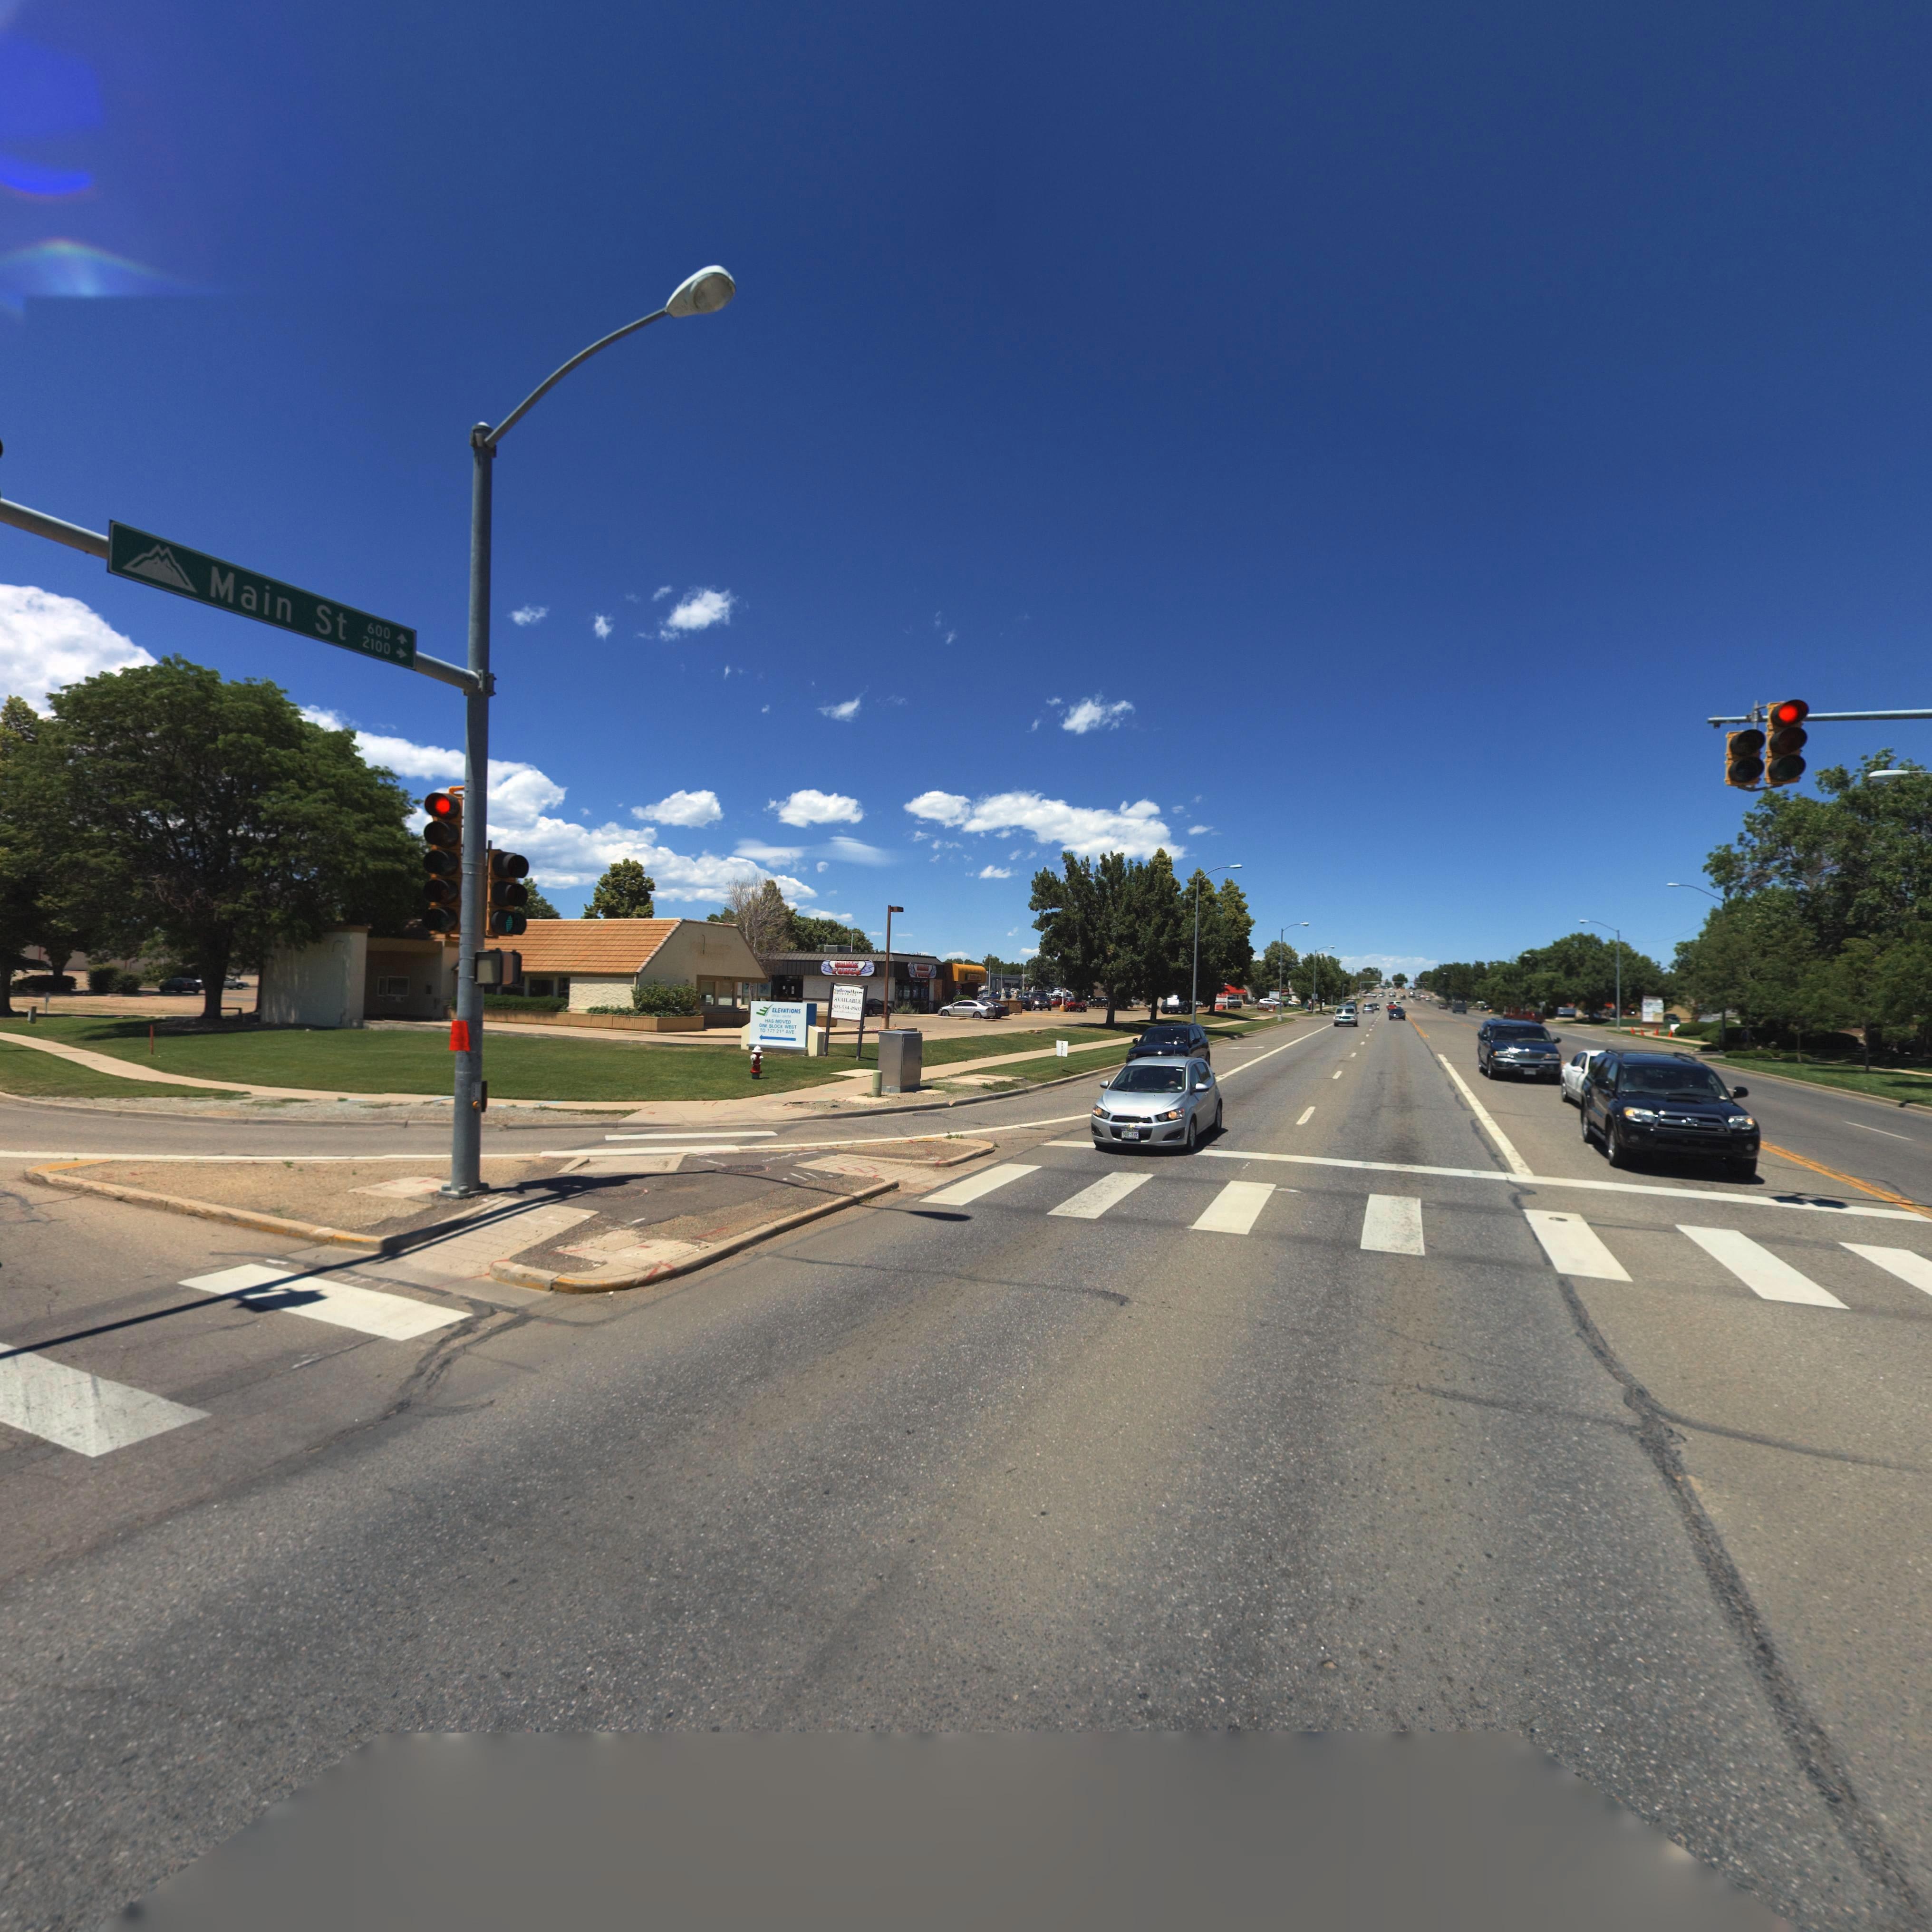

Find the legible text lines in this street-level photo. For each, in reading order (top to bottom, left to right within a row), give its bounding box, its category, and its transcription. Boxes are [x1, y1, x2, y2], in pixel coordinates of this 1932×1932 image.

[209, 564, 348, 641] StreetName: Main St
[367, 621, 390, 639] StreetNumberRange: 600
[361, 635, 407, 658] StreetNumberRange: 2100->
[834, 960, 858, 967] BusinessName: GAME
[831, 967, 861, 975] BusinessName: FORCE
[914, 970, 930, 977] BusinessName: FORCE
[916, 963, 929, 971] BusinessName: GAME
[771, 1007, 801, 1014] BusinessName: ELEVATIONS